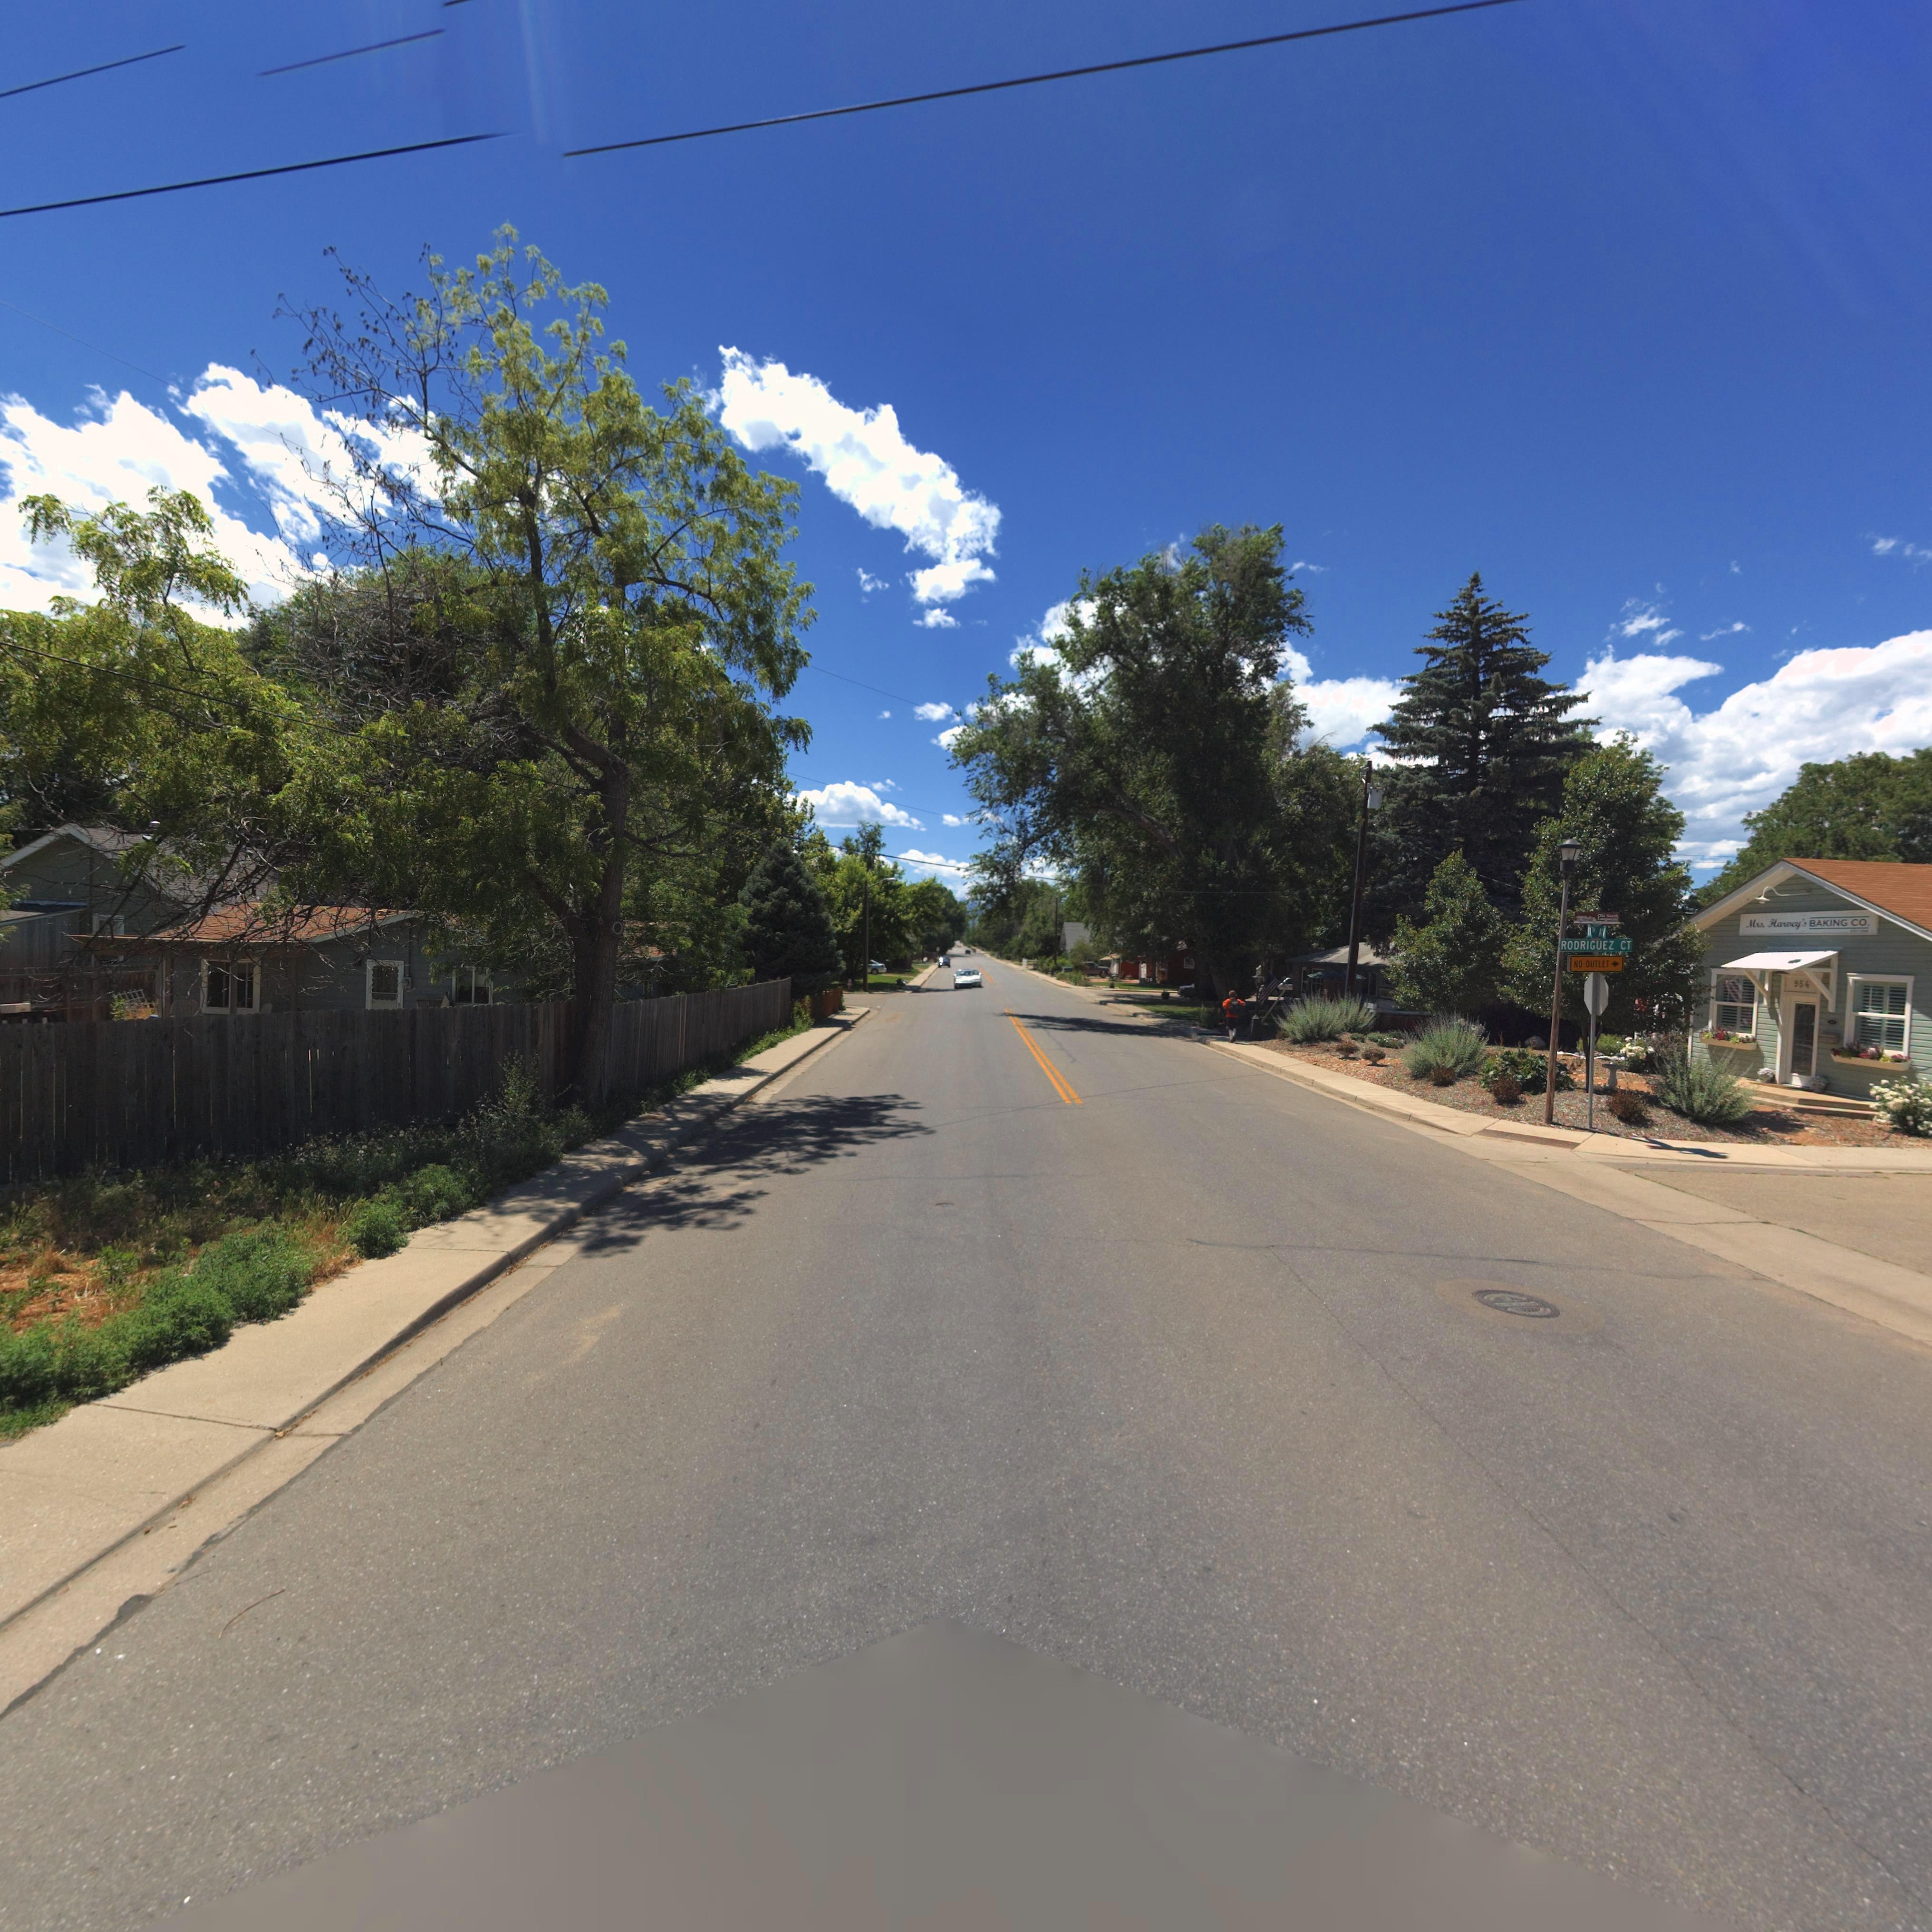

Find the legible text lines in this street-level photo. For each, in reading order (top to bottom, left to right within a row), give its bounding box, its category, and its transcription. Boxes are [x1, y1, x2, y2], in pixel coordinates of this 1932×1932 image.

[1746, 918, 1870, 930] BusinessName: Mrs. Harvey's BAKING CO.
[1587, 926, 1606, 937] StreetName: 11TH AV
[1561, 940, 1632, 950] StreetName: RODRIGUEZ CT
[1793, 979, 1809, 988] StreetNumber: 954